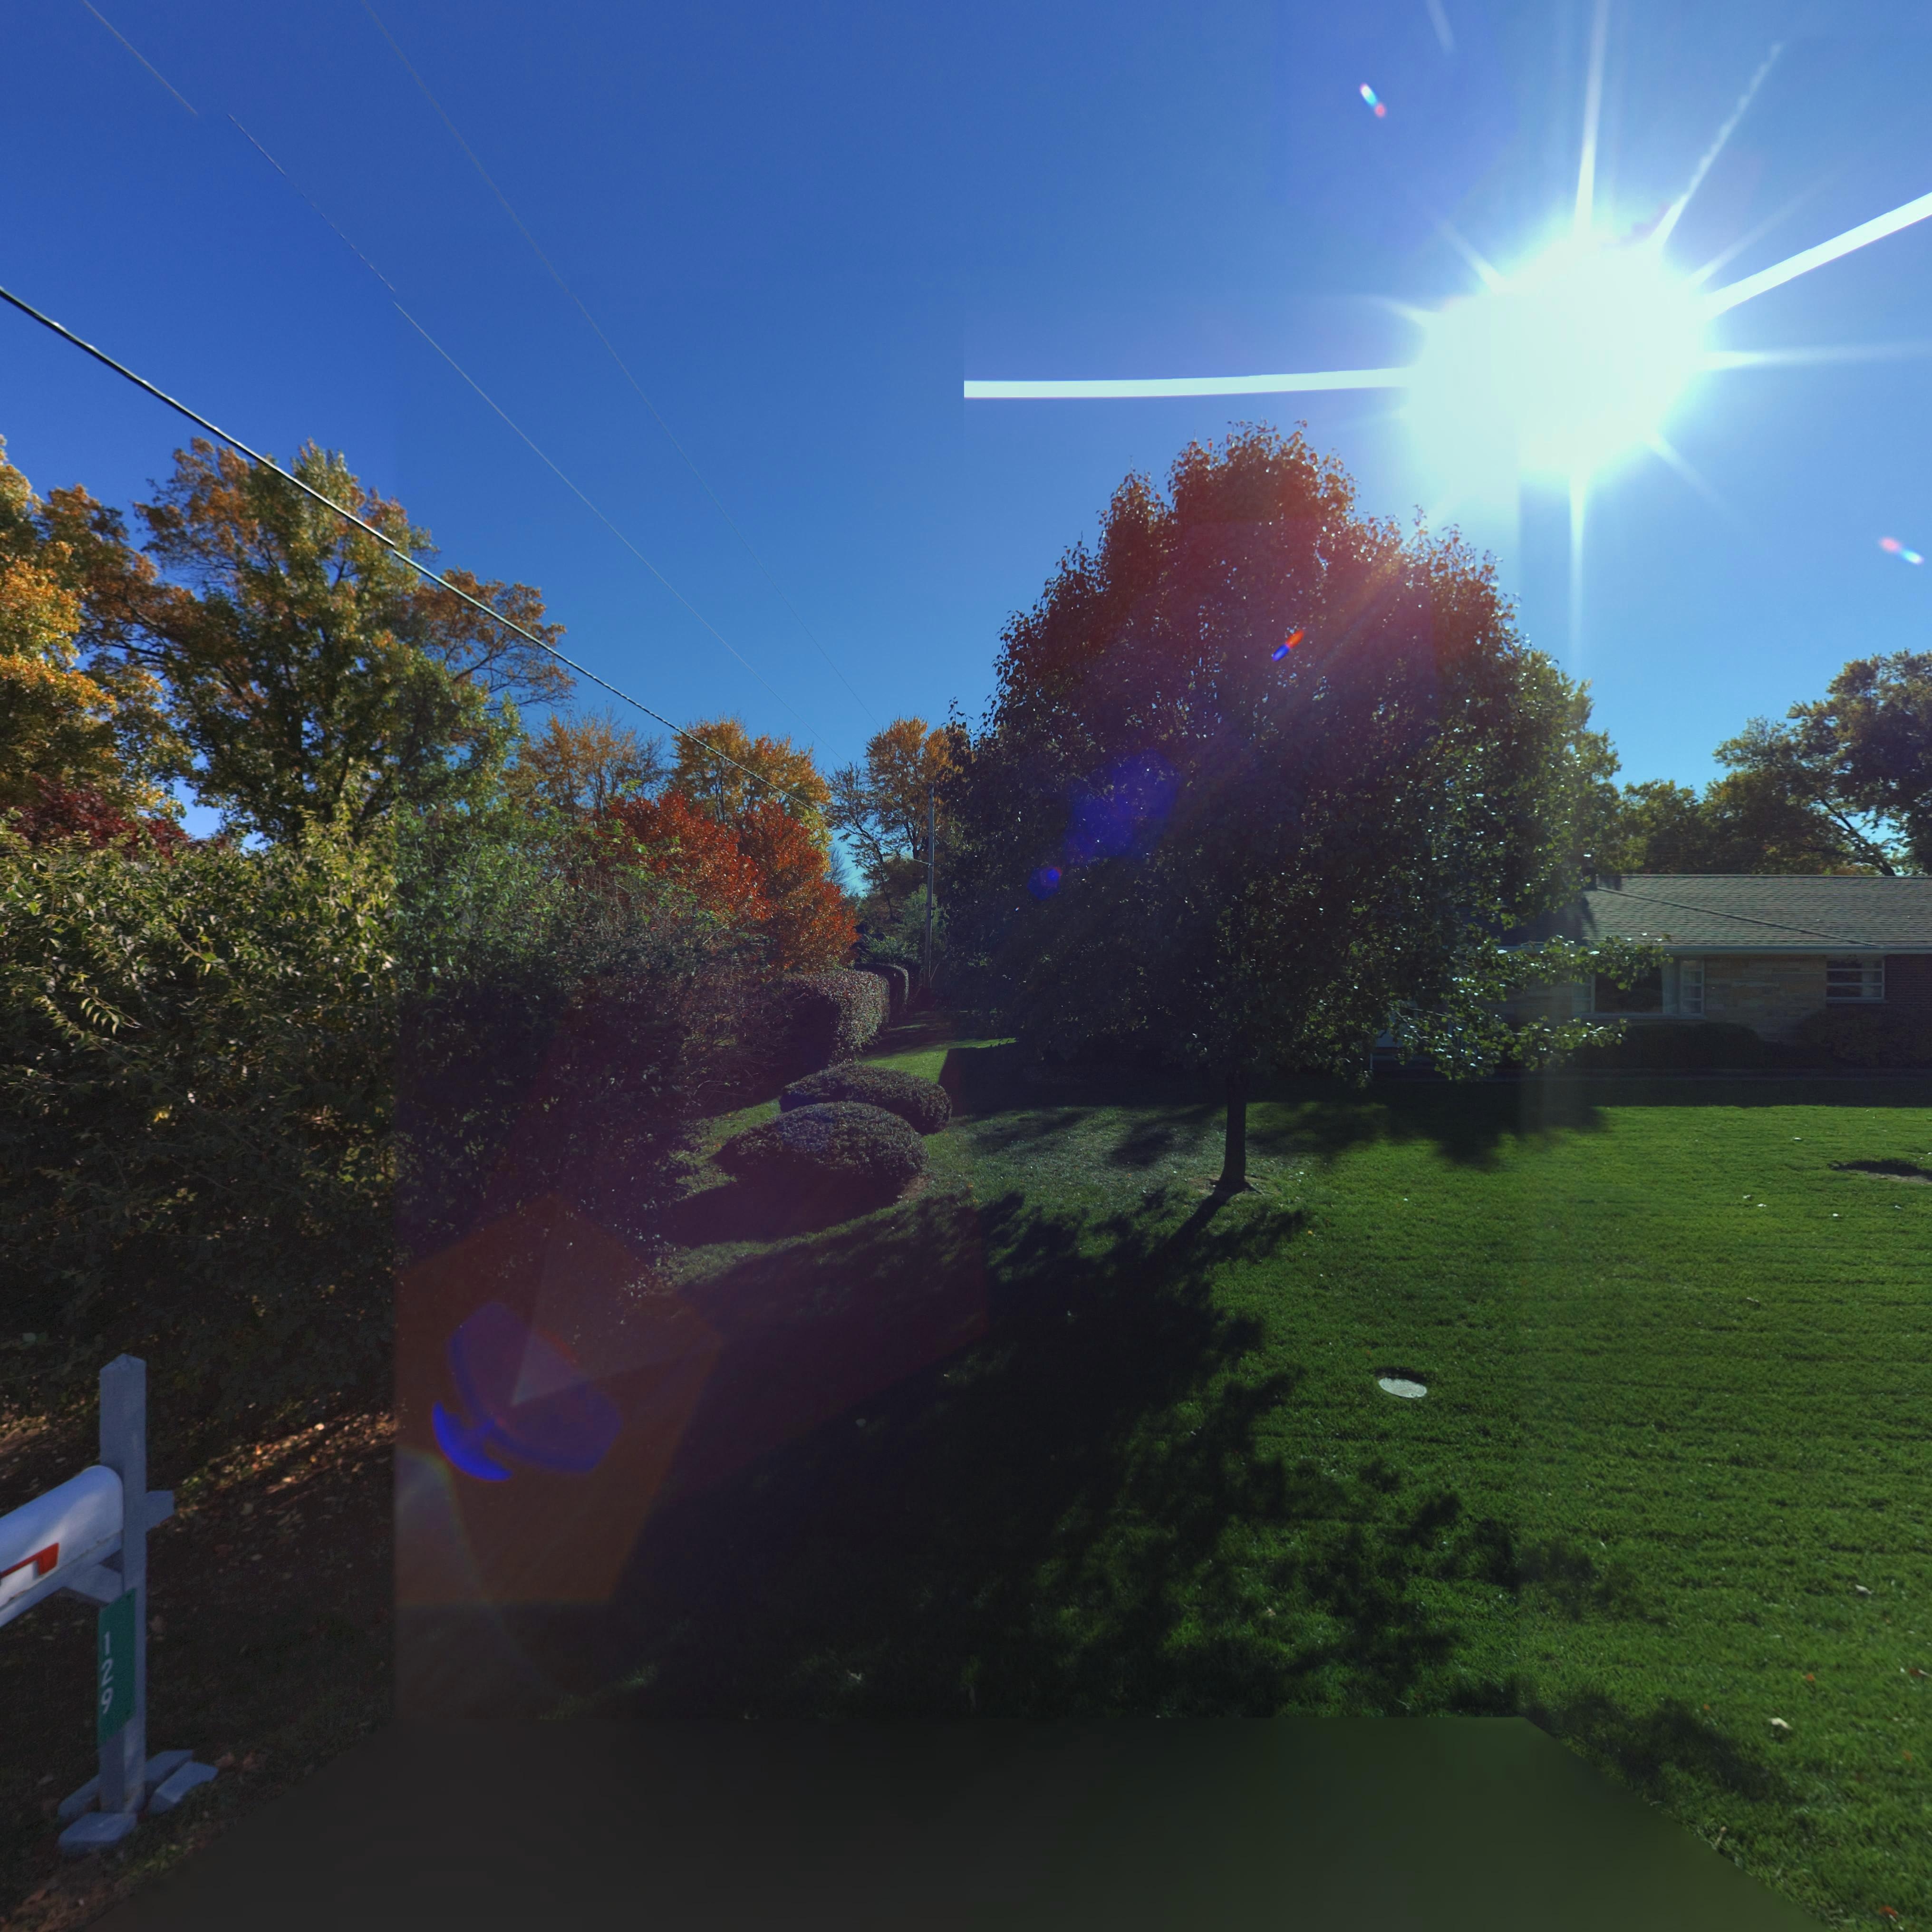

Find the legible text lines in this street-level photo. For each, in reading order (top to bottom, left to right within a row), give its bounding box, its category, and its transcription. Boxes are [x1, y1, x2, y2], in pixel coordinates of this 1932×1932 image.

[100, 1625, 115, 1719] StreetNumber: 129